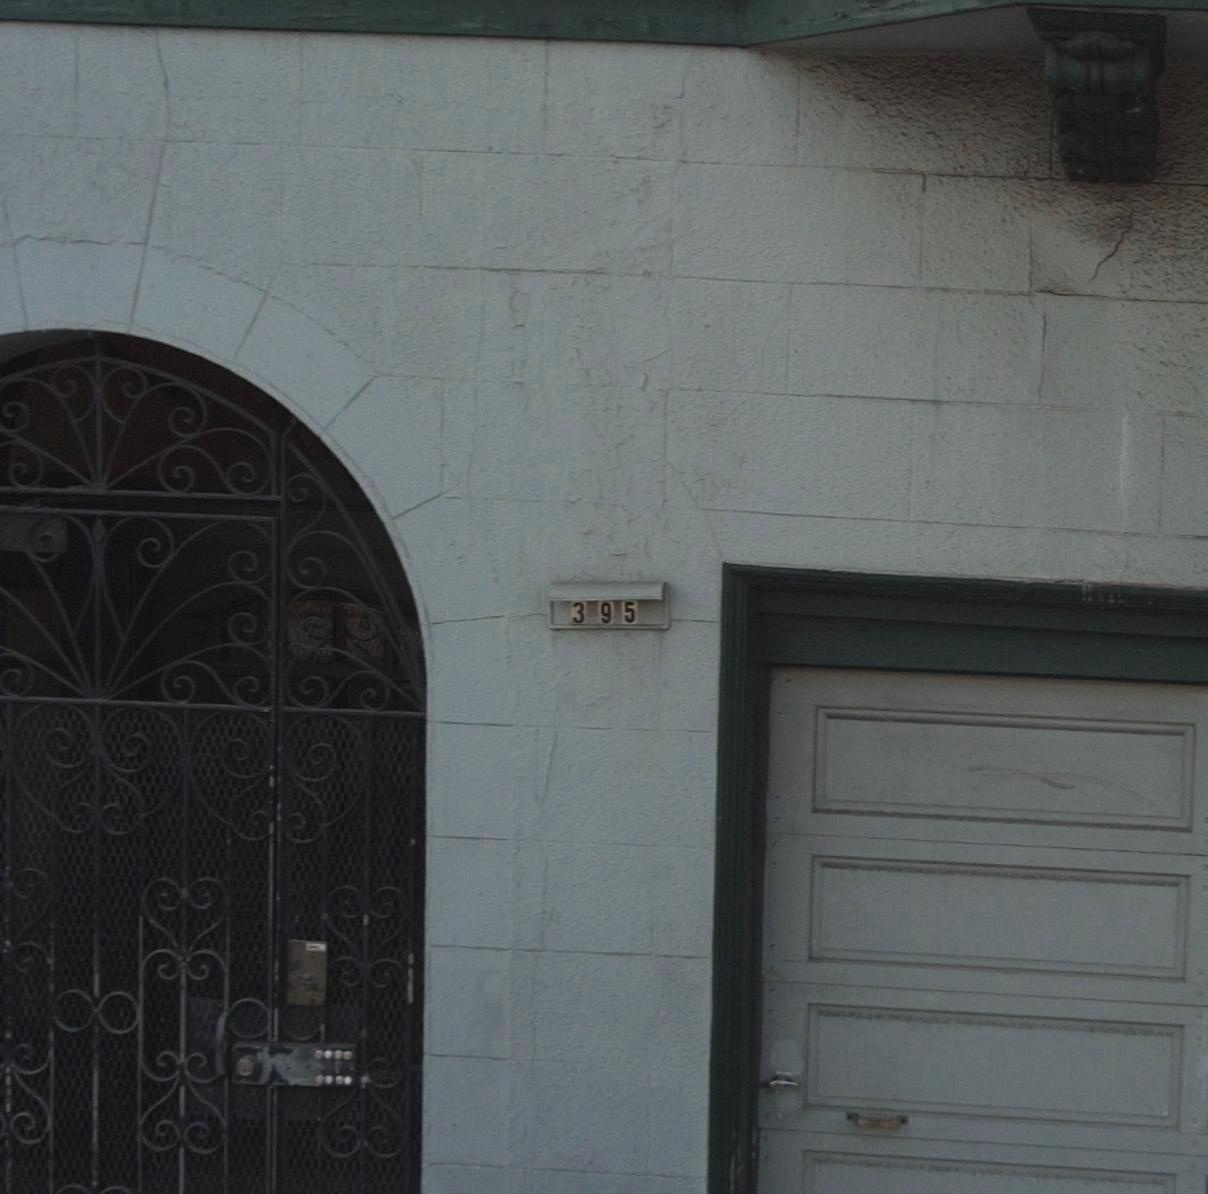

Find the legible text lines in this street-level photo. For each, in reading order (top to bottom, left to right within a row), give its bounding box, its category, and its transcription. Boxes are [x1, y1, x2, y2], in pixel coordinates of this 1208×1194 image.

[570, 600, 637, 624] StreetNumber: 395